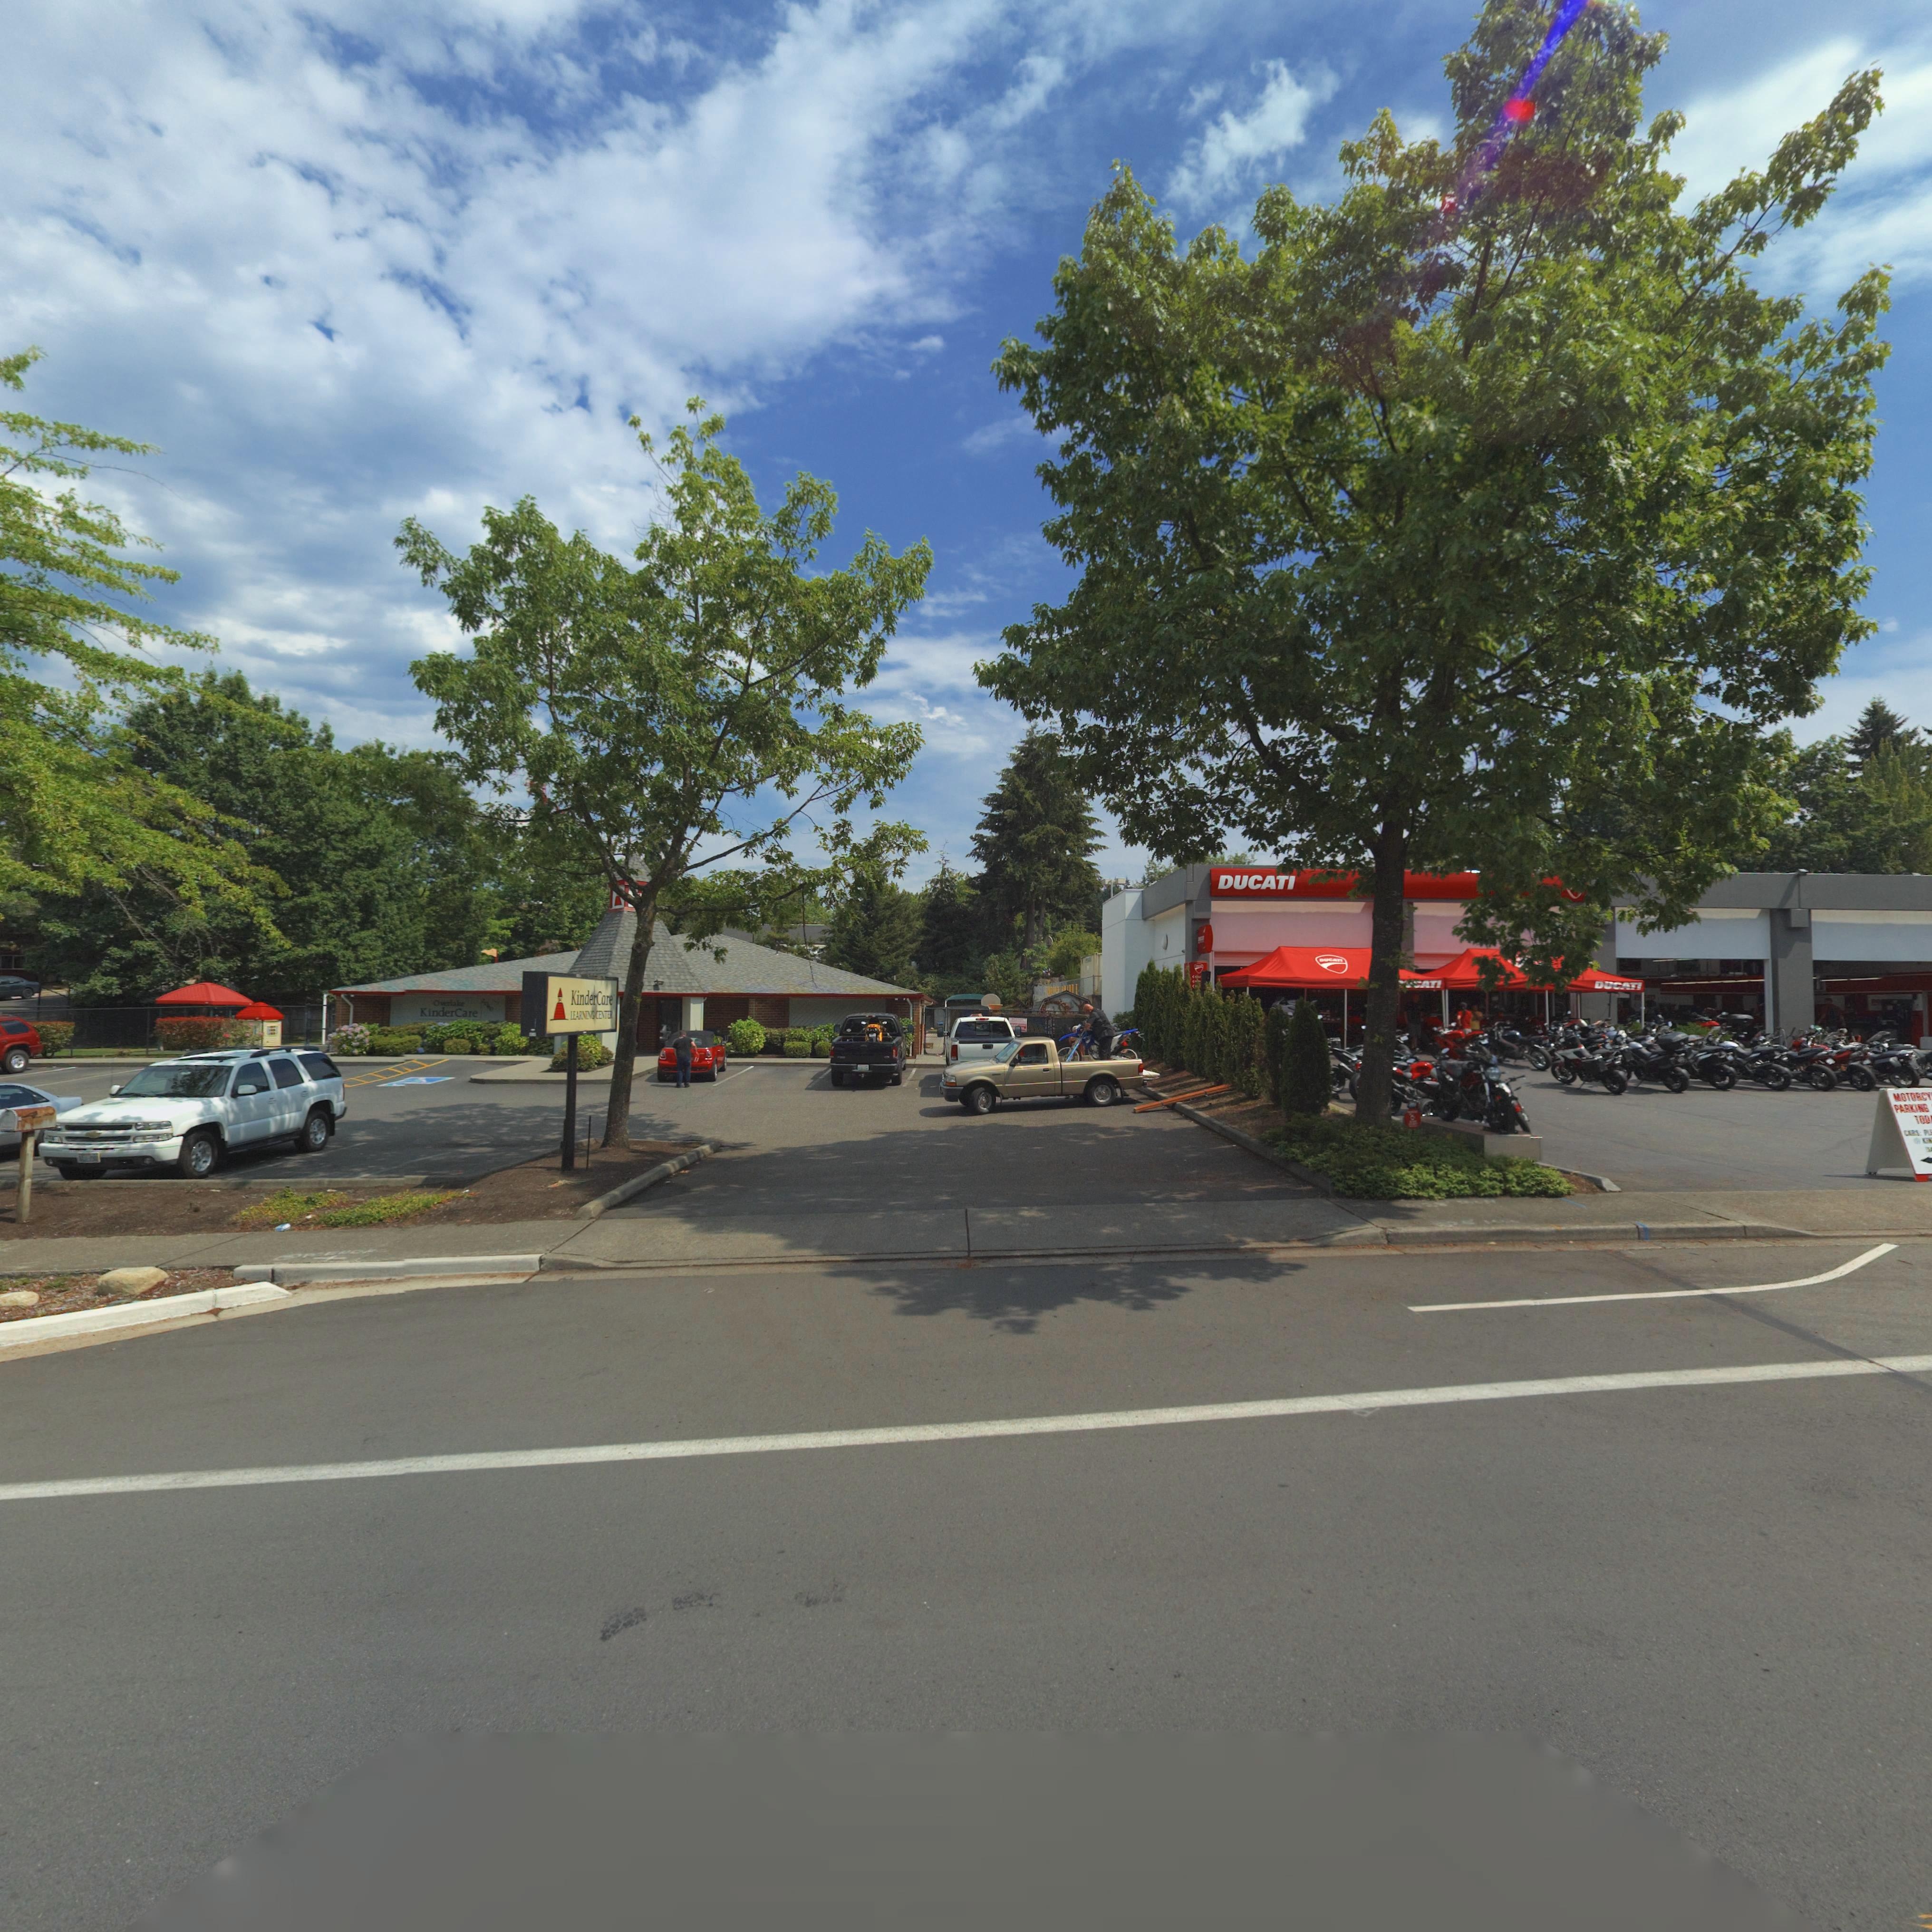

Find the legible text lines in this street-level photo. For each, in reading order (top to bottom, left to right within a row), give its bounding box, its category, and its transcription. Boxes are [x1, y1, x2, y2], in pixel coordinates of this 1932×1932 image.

[1217, 874, 1295, 889] BusinessName: DUCATI
[1594, 981, 1642, 990] BusinessName: DUCATI
[570, 989, 613, 1005] BusinessName: KinderCare
[417, 1006, 478, 1018] BusinessName: KinderCare